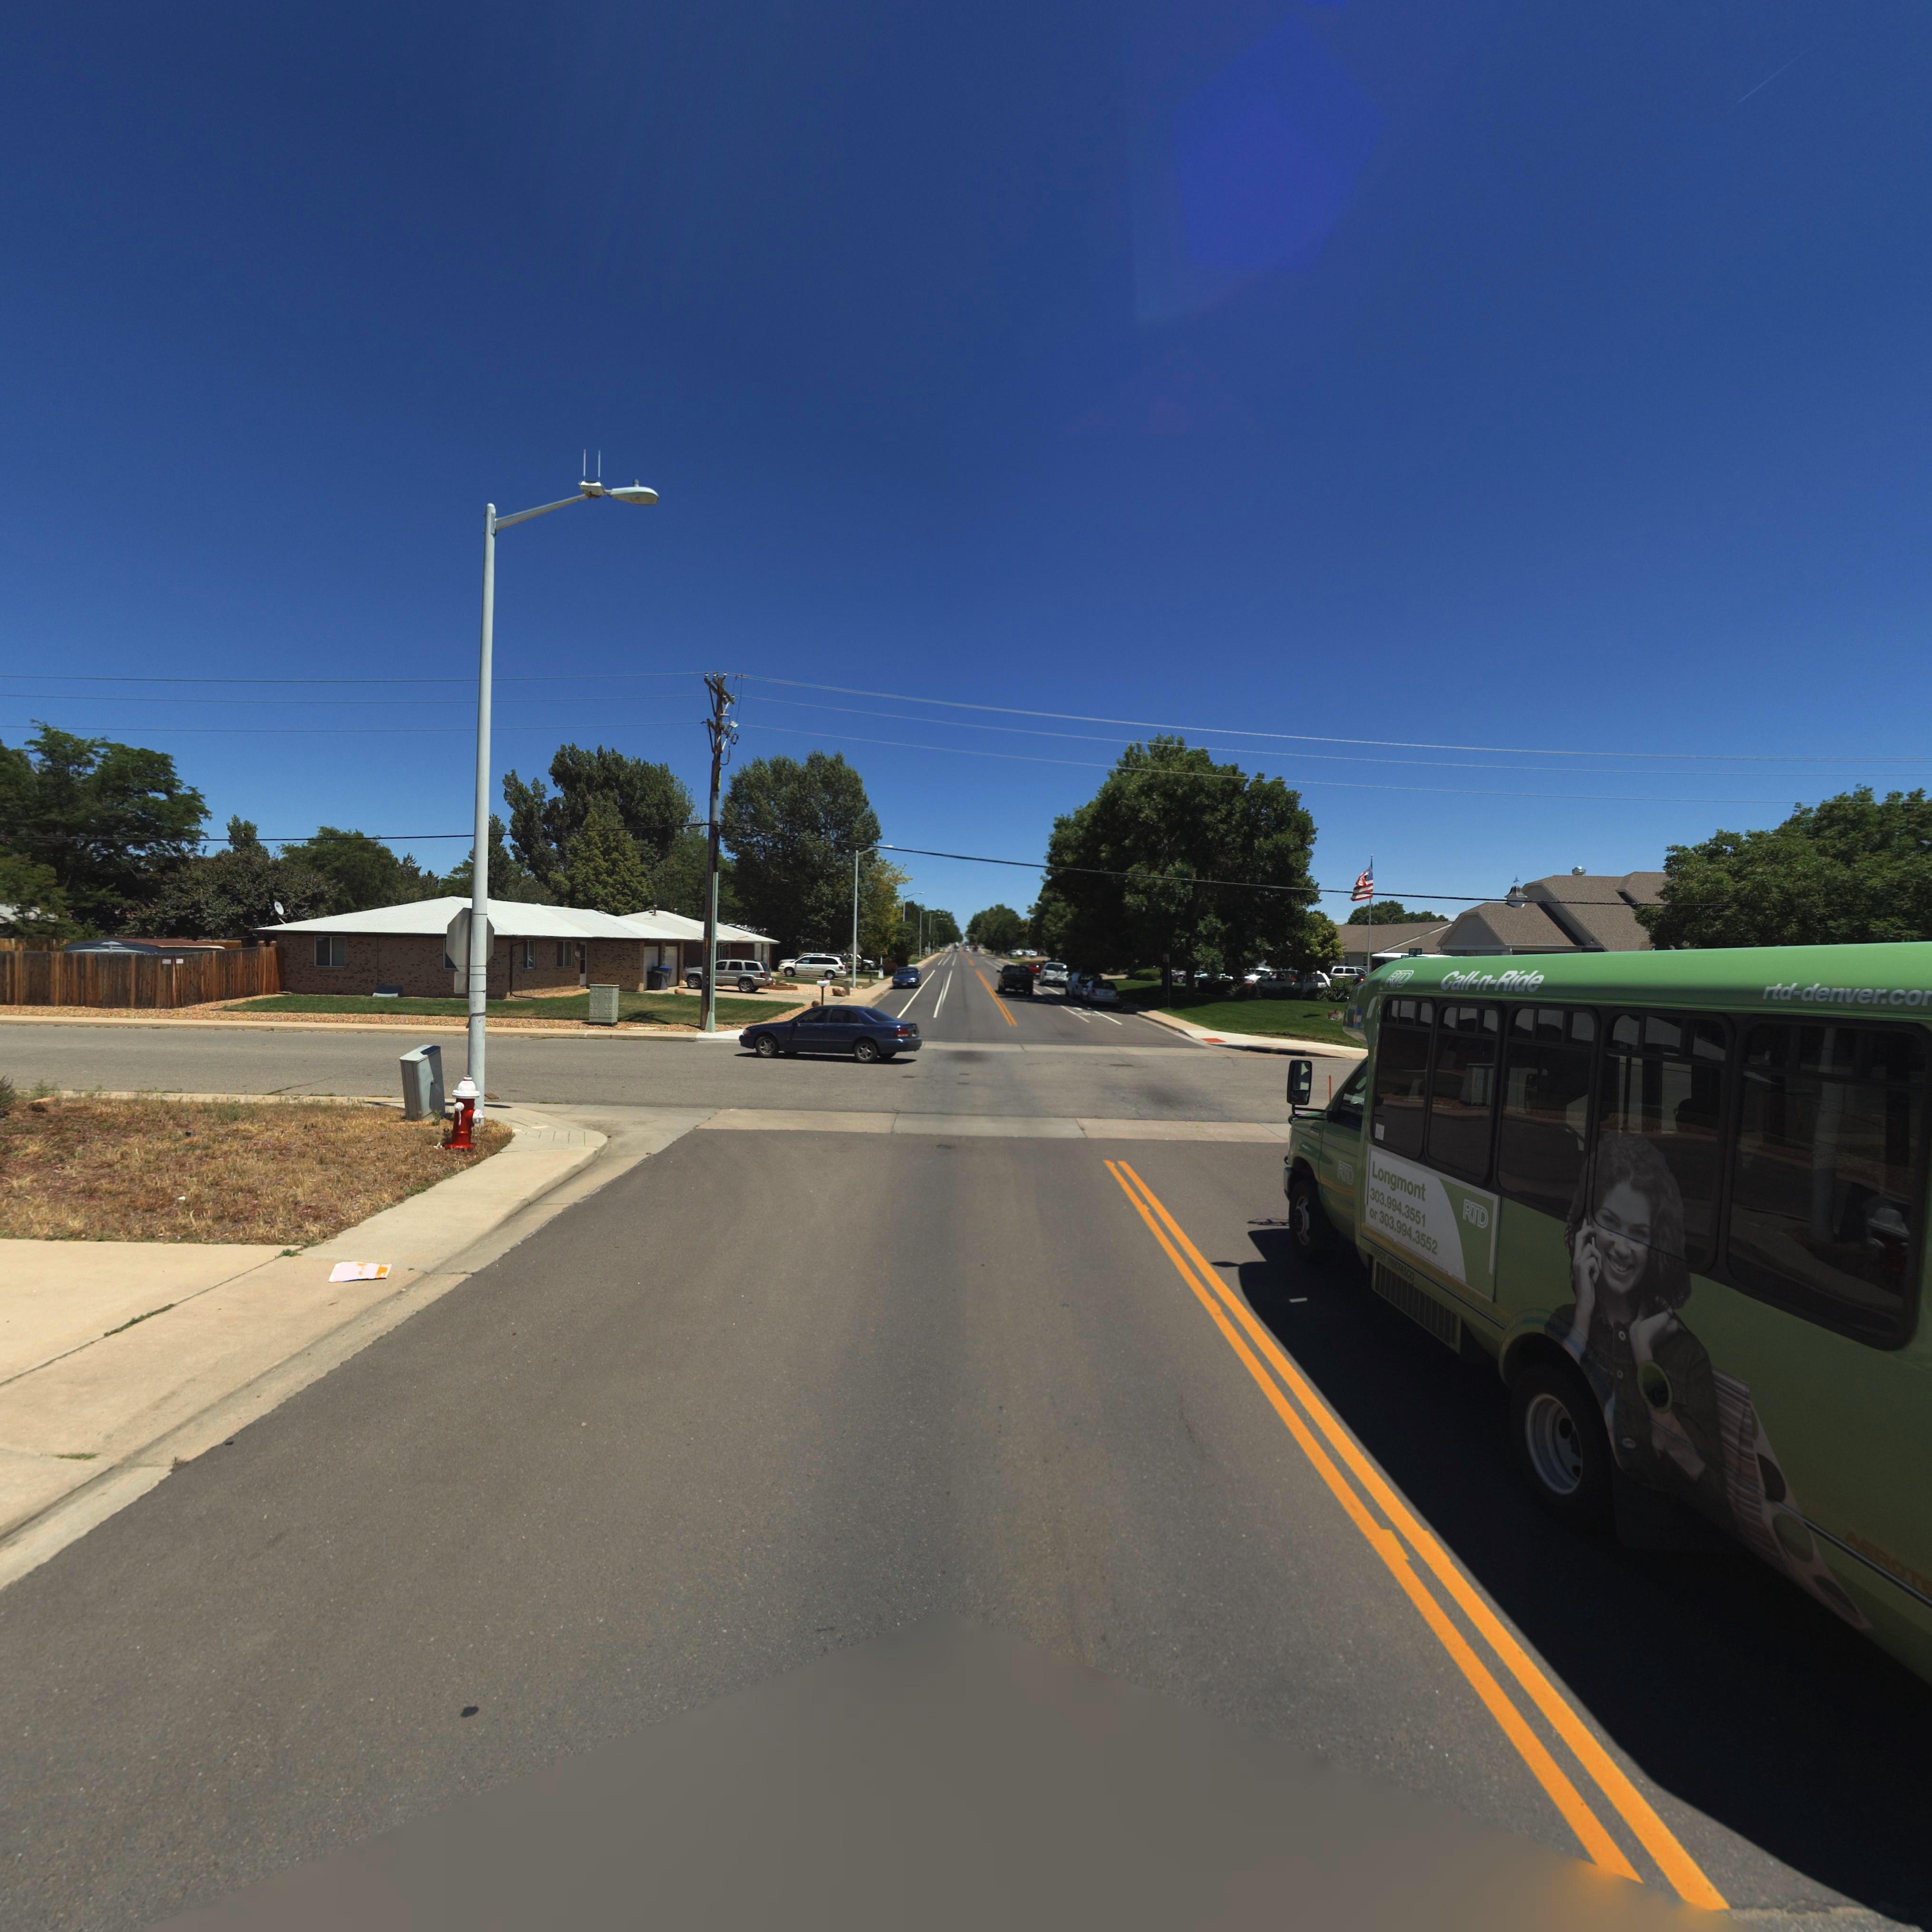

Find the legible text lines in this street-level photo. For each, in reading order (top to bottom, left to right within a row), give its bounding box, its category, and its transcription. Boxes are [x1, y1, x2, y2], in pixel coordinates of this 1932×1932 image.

[1410, 949, 1421, 954] StreetName: 23** **